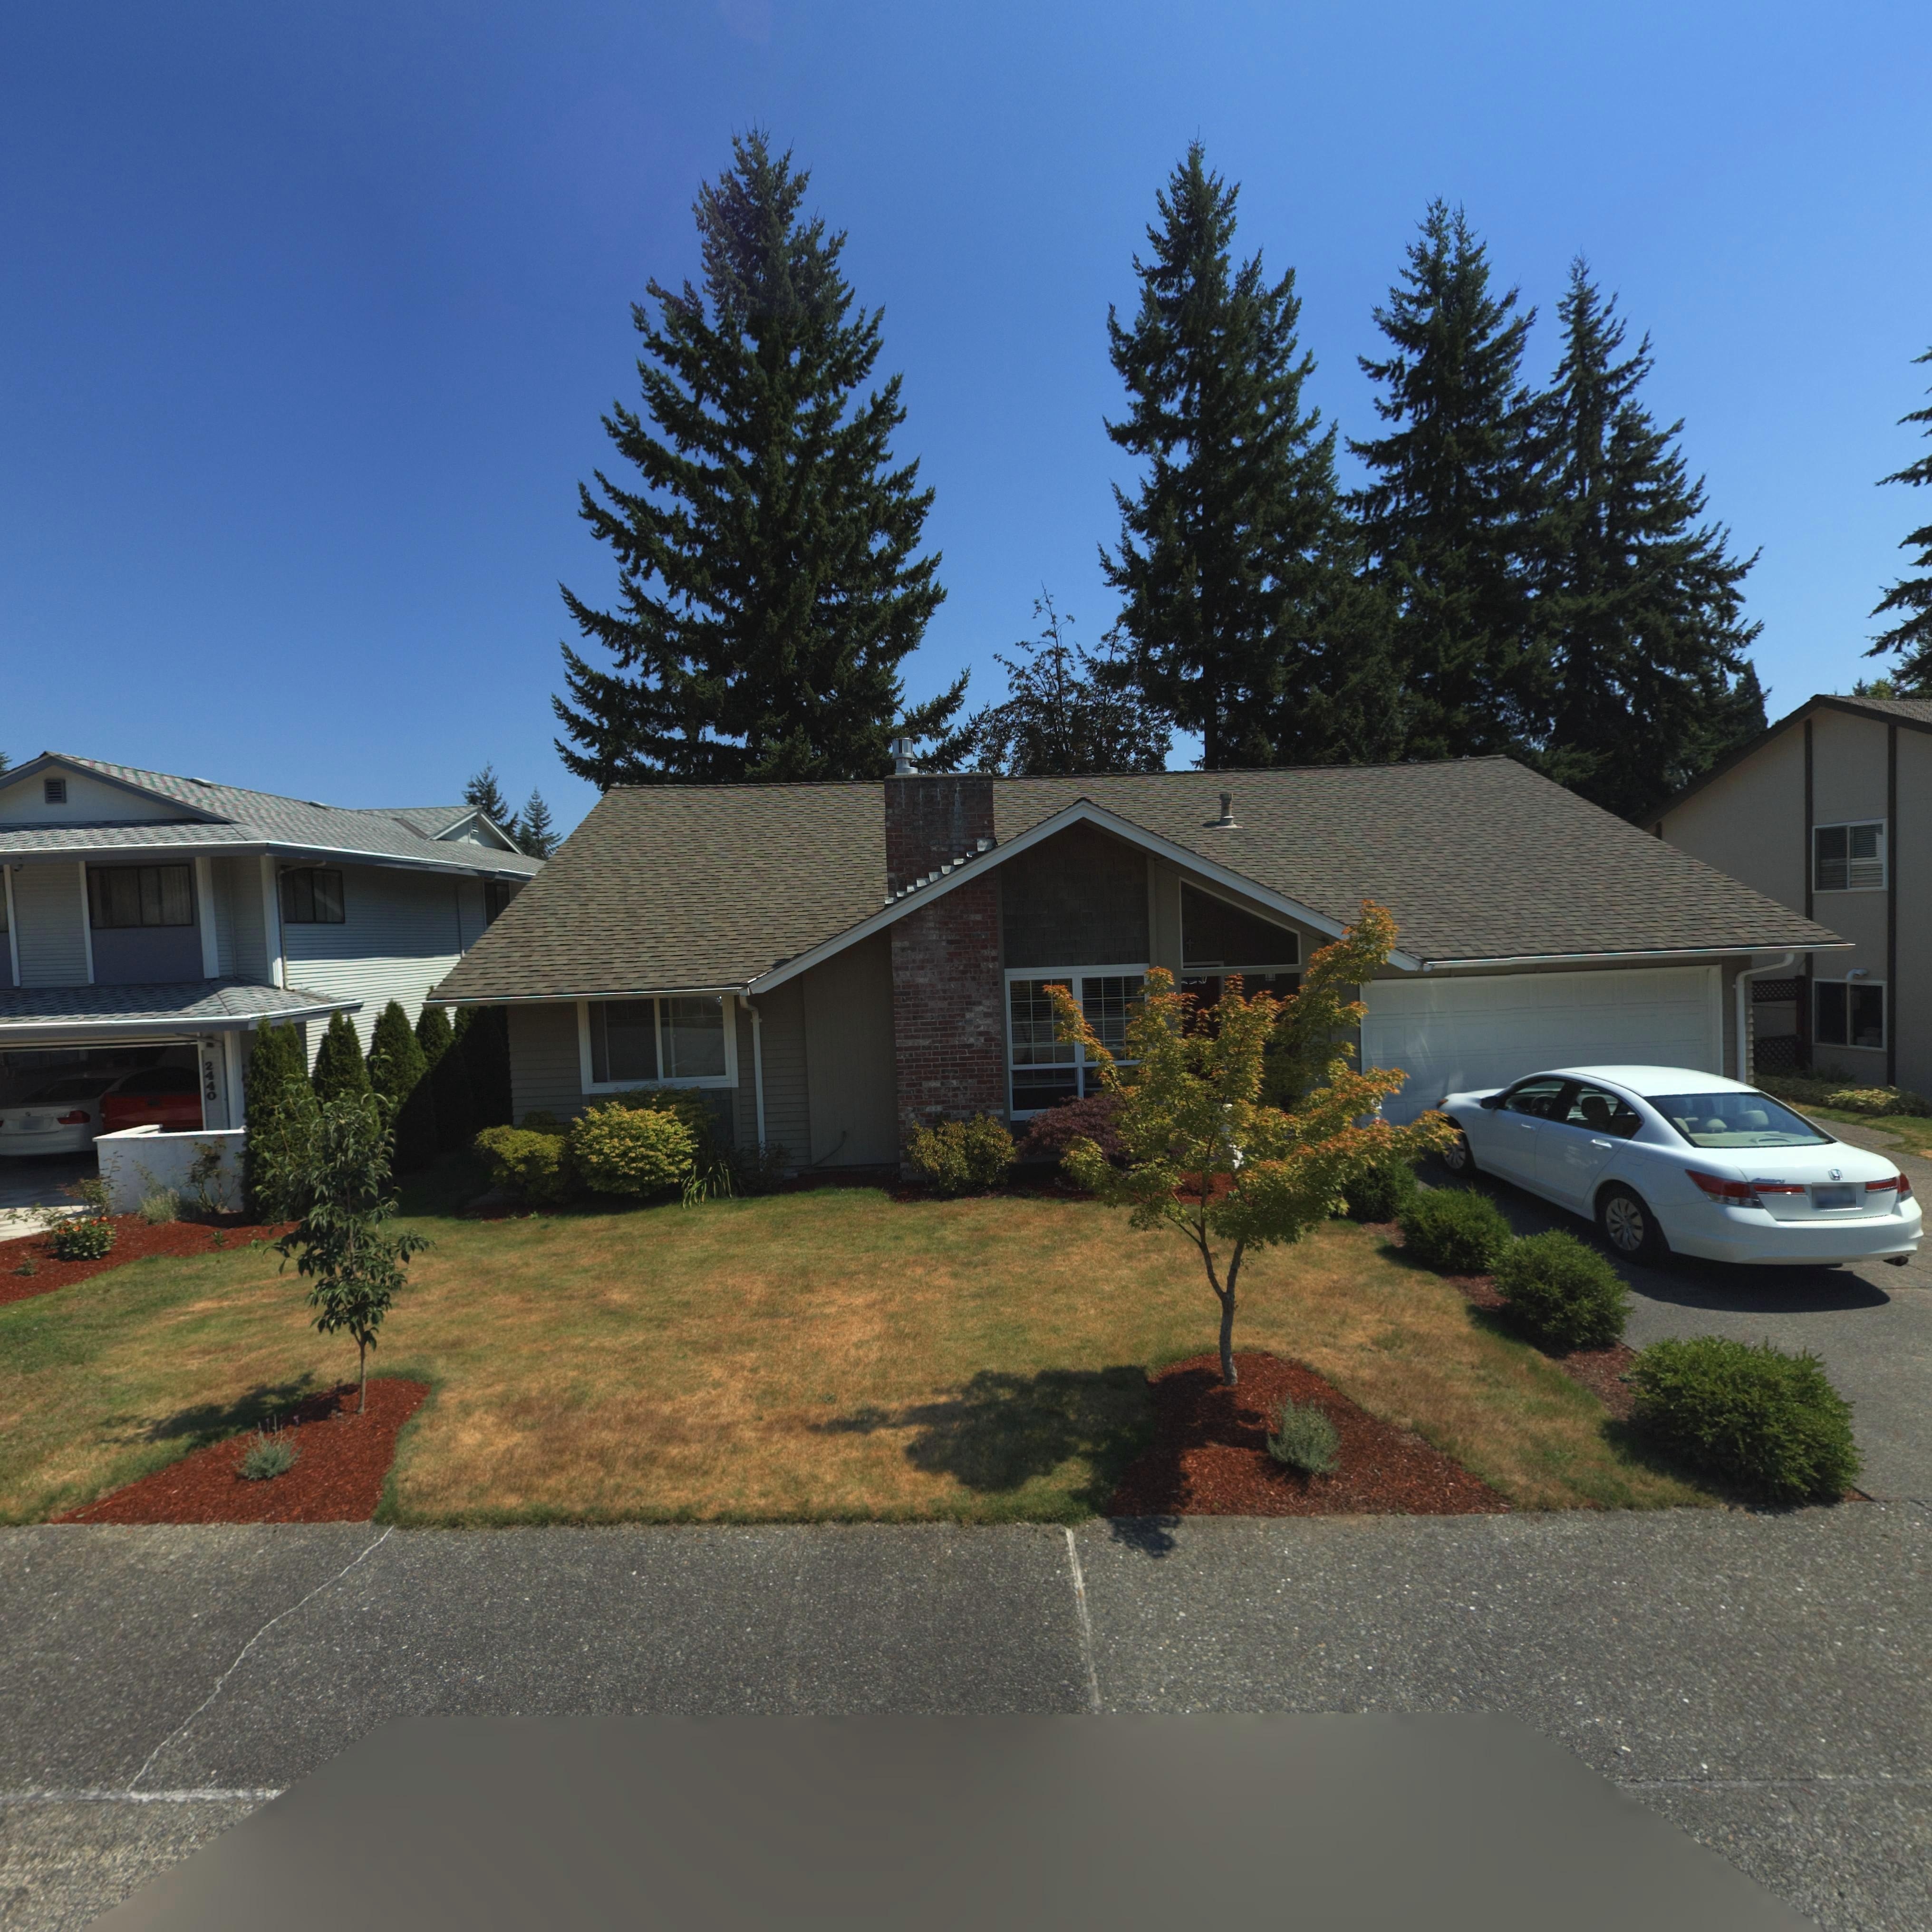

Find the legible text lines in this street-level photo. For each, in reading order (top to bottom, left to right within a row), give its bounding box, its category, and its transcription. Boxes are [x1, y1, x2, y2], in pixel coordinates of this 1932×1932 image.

[204, 1060, 217, 1101] StreetNumber: 2440